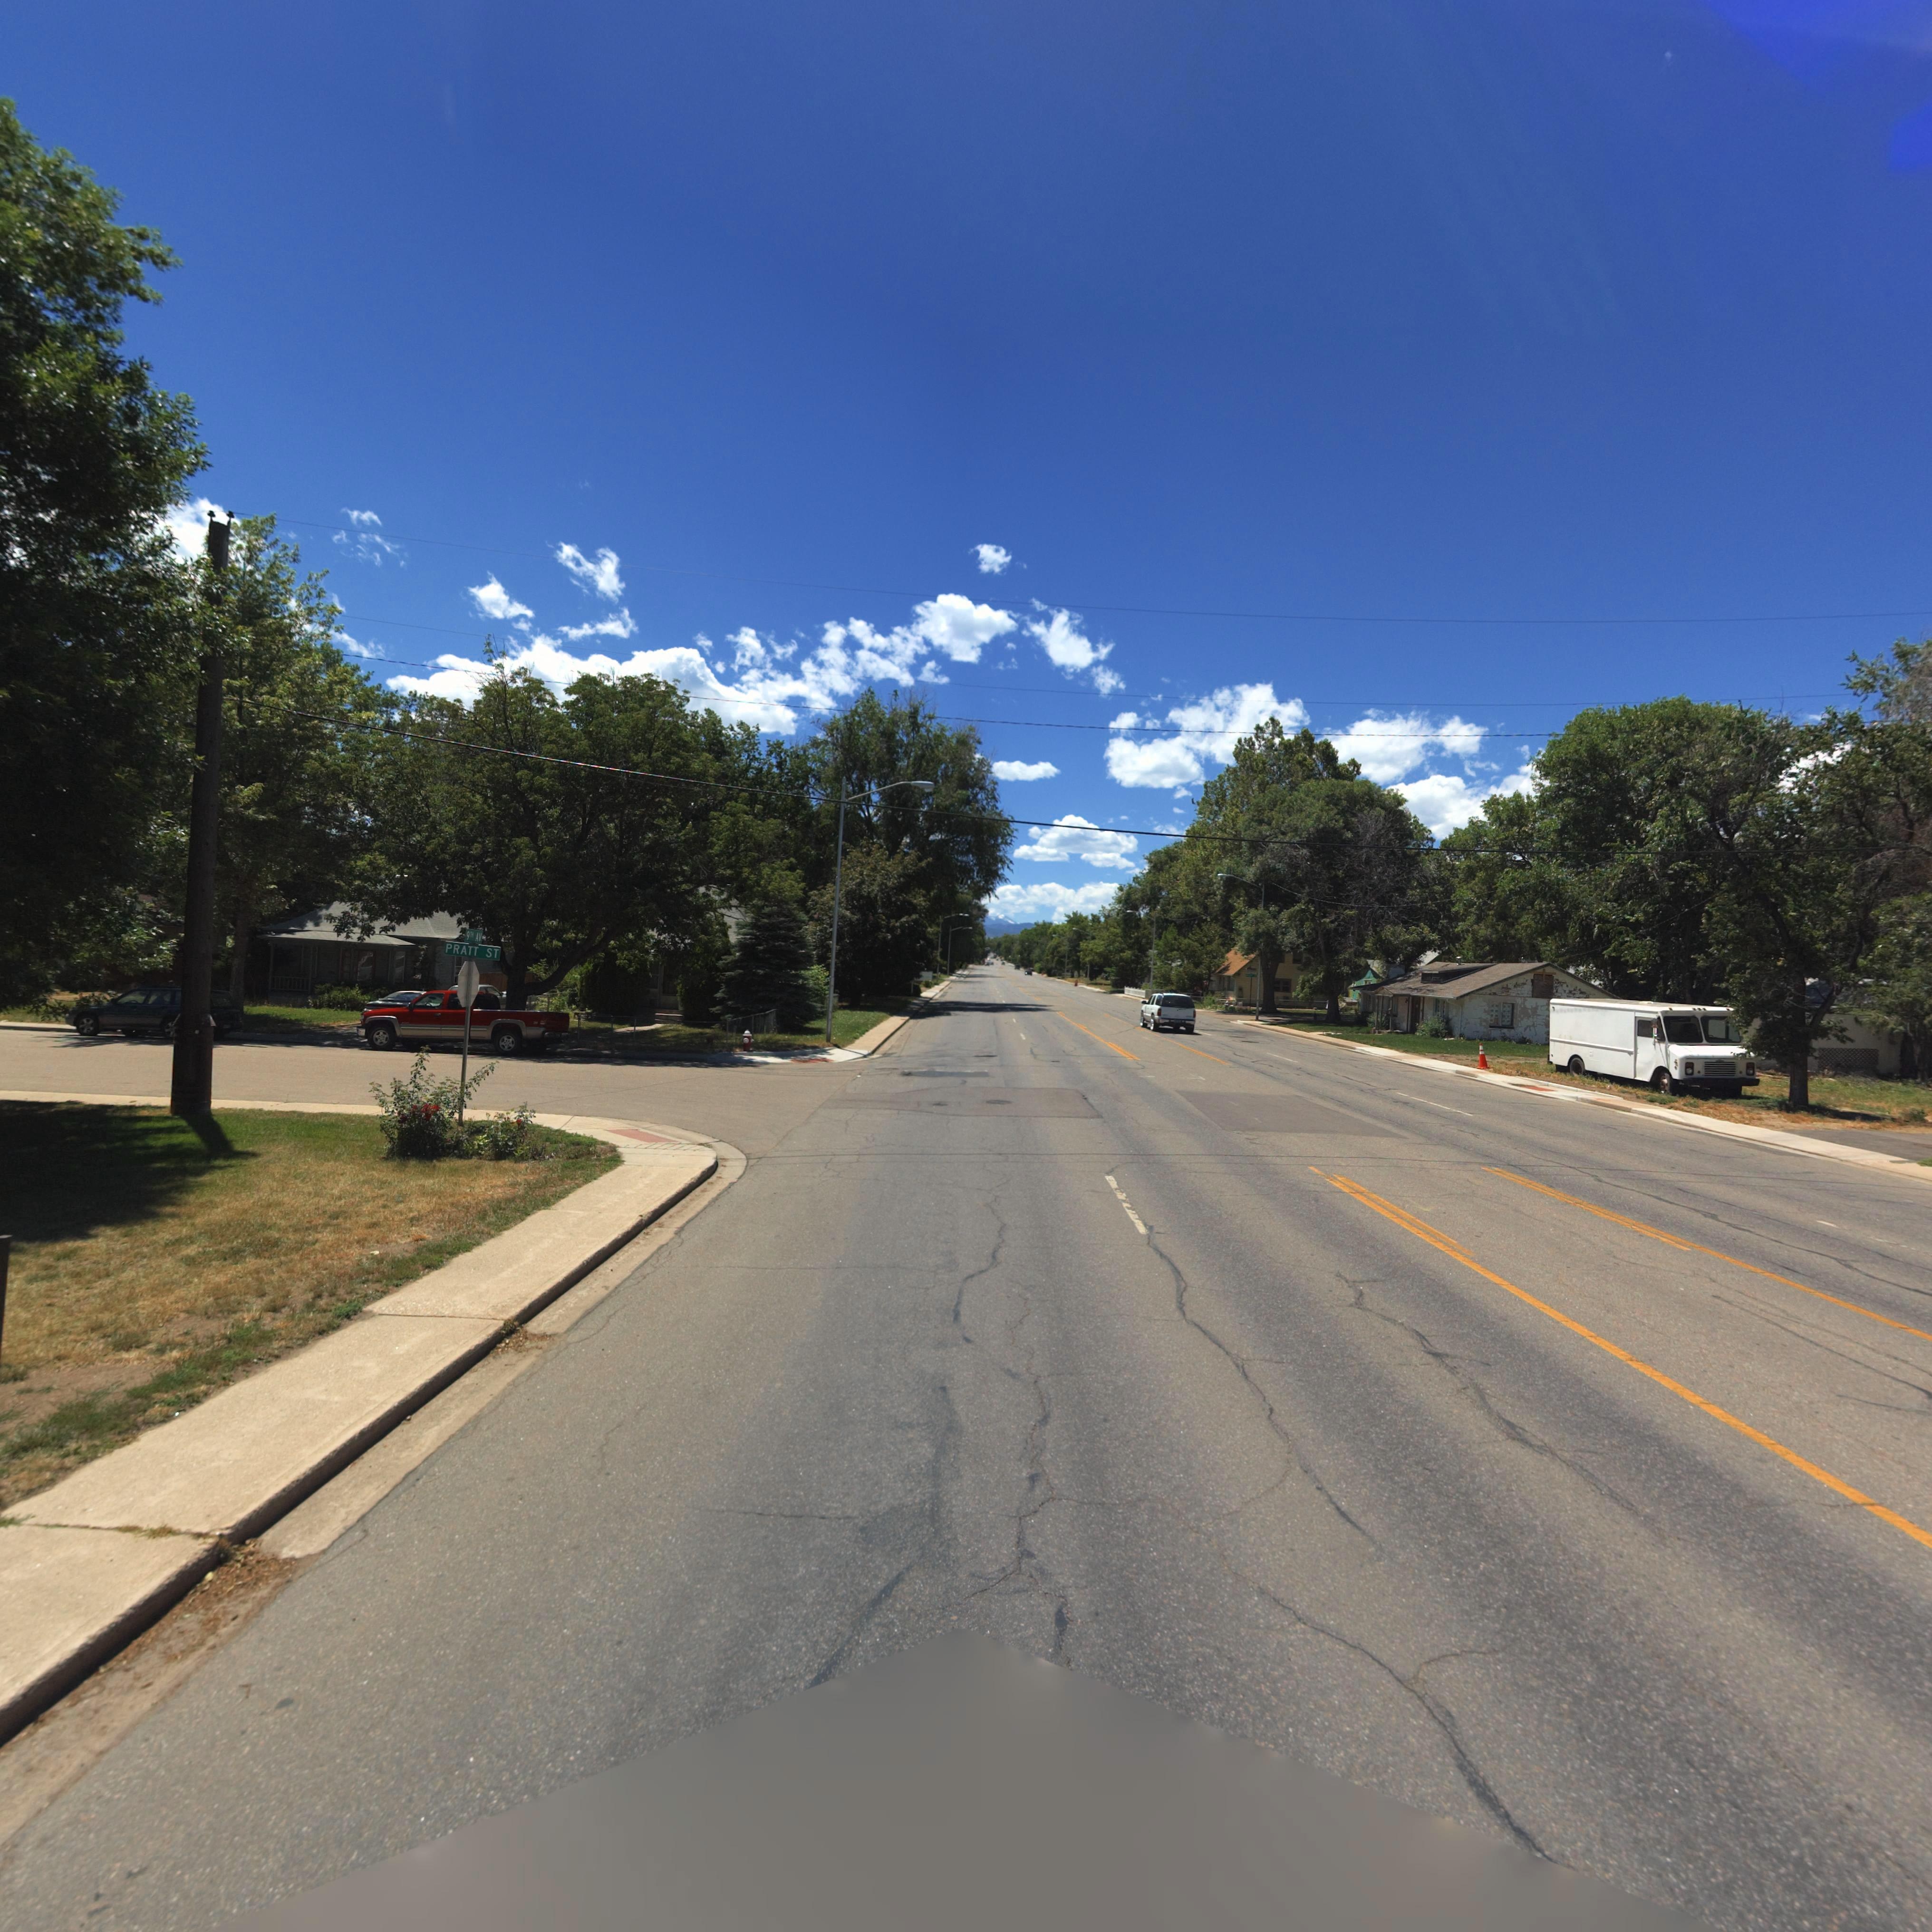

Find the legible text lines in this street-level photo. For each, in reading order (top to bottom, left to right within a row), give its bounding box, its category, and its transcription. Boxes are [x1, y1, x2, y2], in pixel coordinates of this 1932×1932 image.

[466, 930, 483, 942] StreetName: 9TH AV
[444, 943, 500, 959] StreetName: PRATT ST